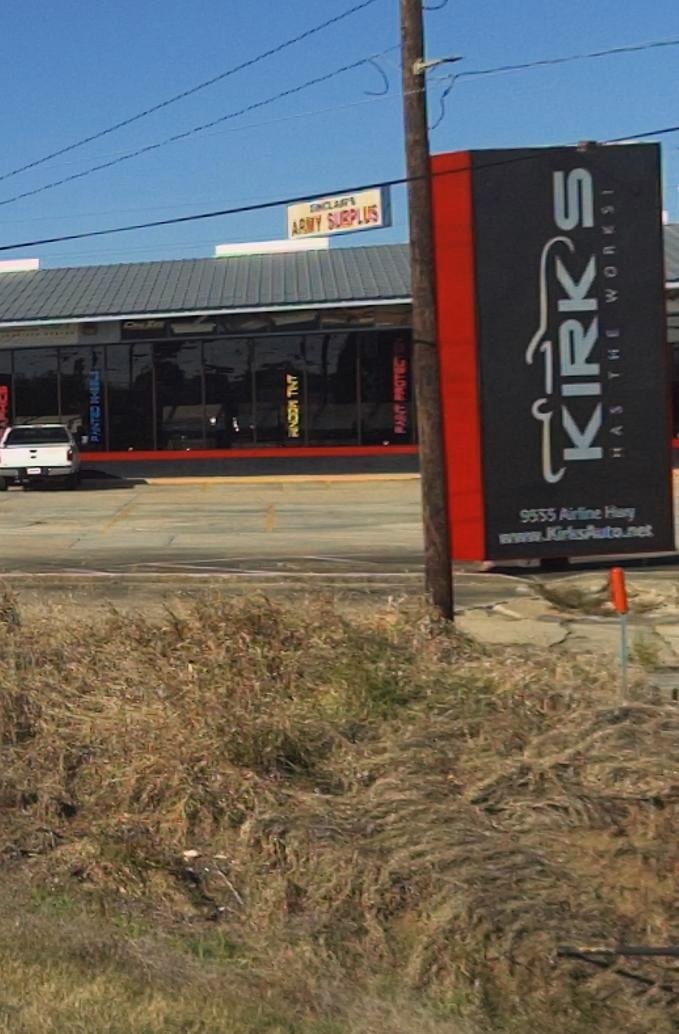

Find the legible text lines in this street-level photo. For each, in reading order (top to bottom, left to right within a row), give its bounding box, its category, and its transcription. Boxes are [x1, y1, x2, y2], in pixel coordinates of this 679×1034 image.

[309, 195, 358, 214] BusinessName: SINCLAIR'S
[290, 203, 379, 238] BusinessName: ARMY SURPLUS
[550, 166, 604, 464] BusinessName: KIRK'S
[598, 201, 625, 461] None: HAS THE WORKS
[518, 507, 557, 524] StreetNumber: 9555
[557, 505, 637, 524] StreetName: Airline Hwy
[496, 522, 657, 546] None: www.KirksAuto.net